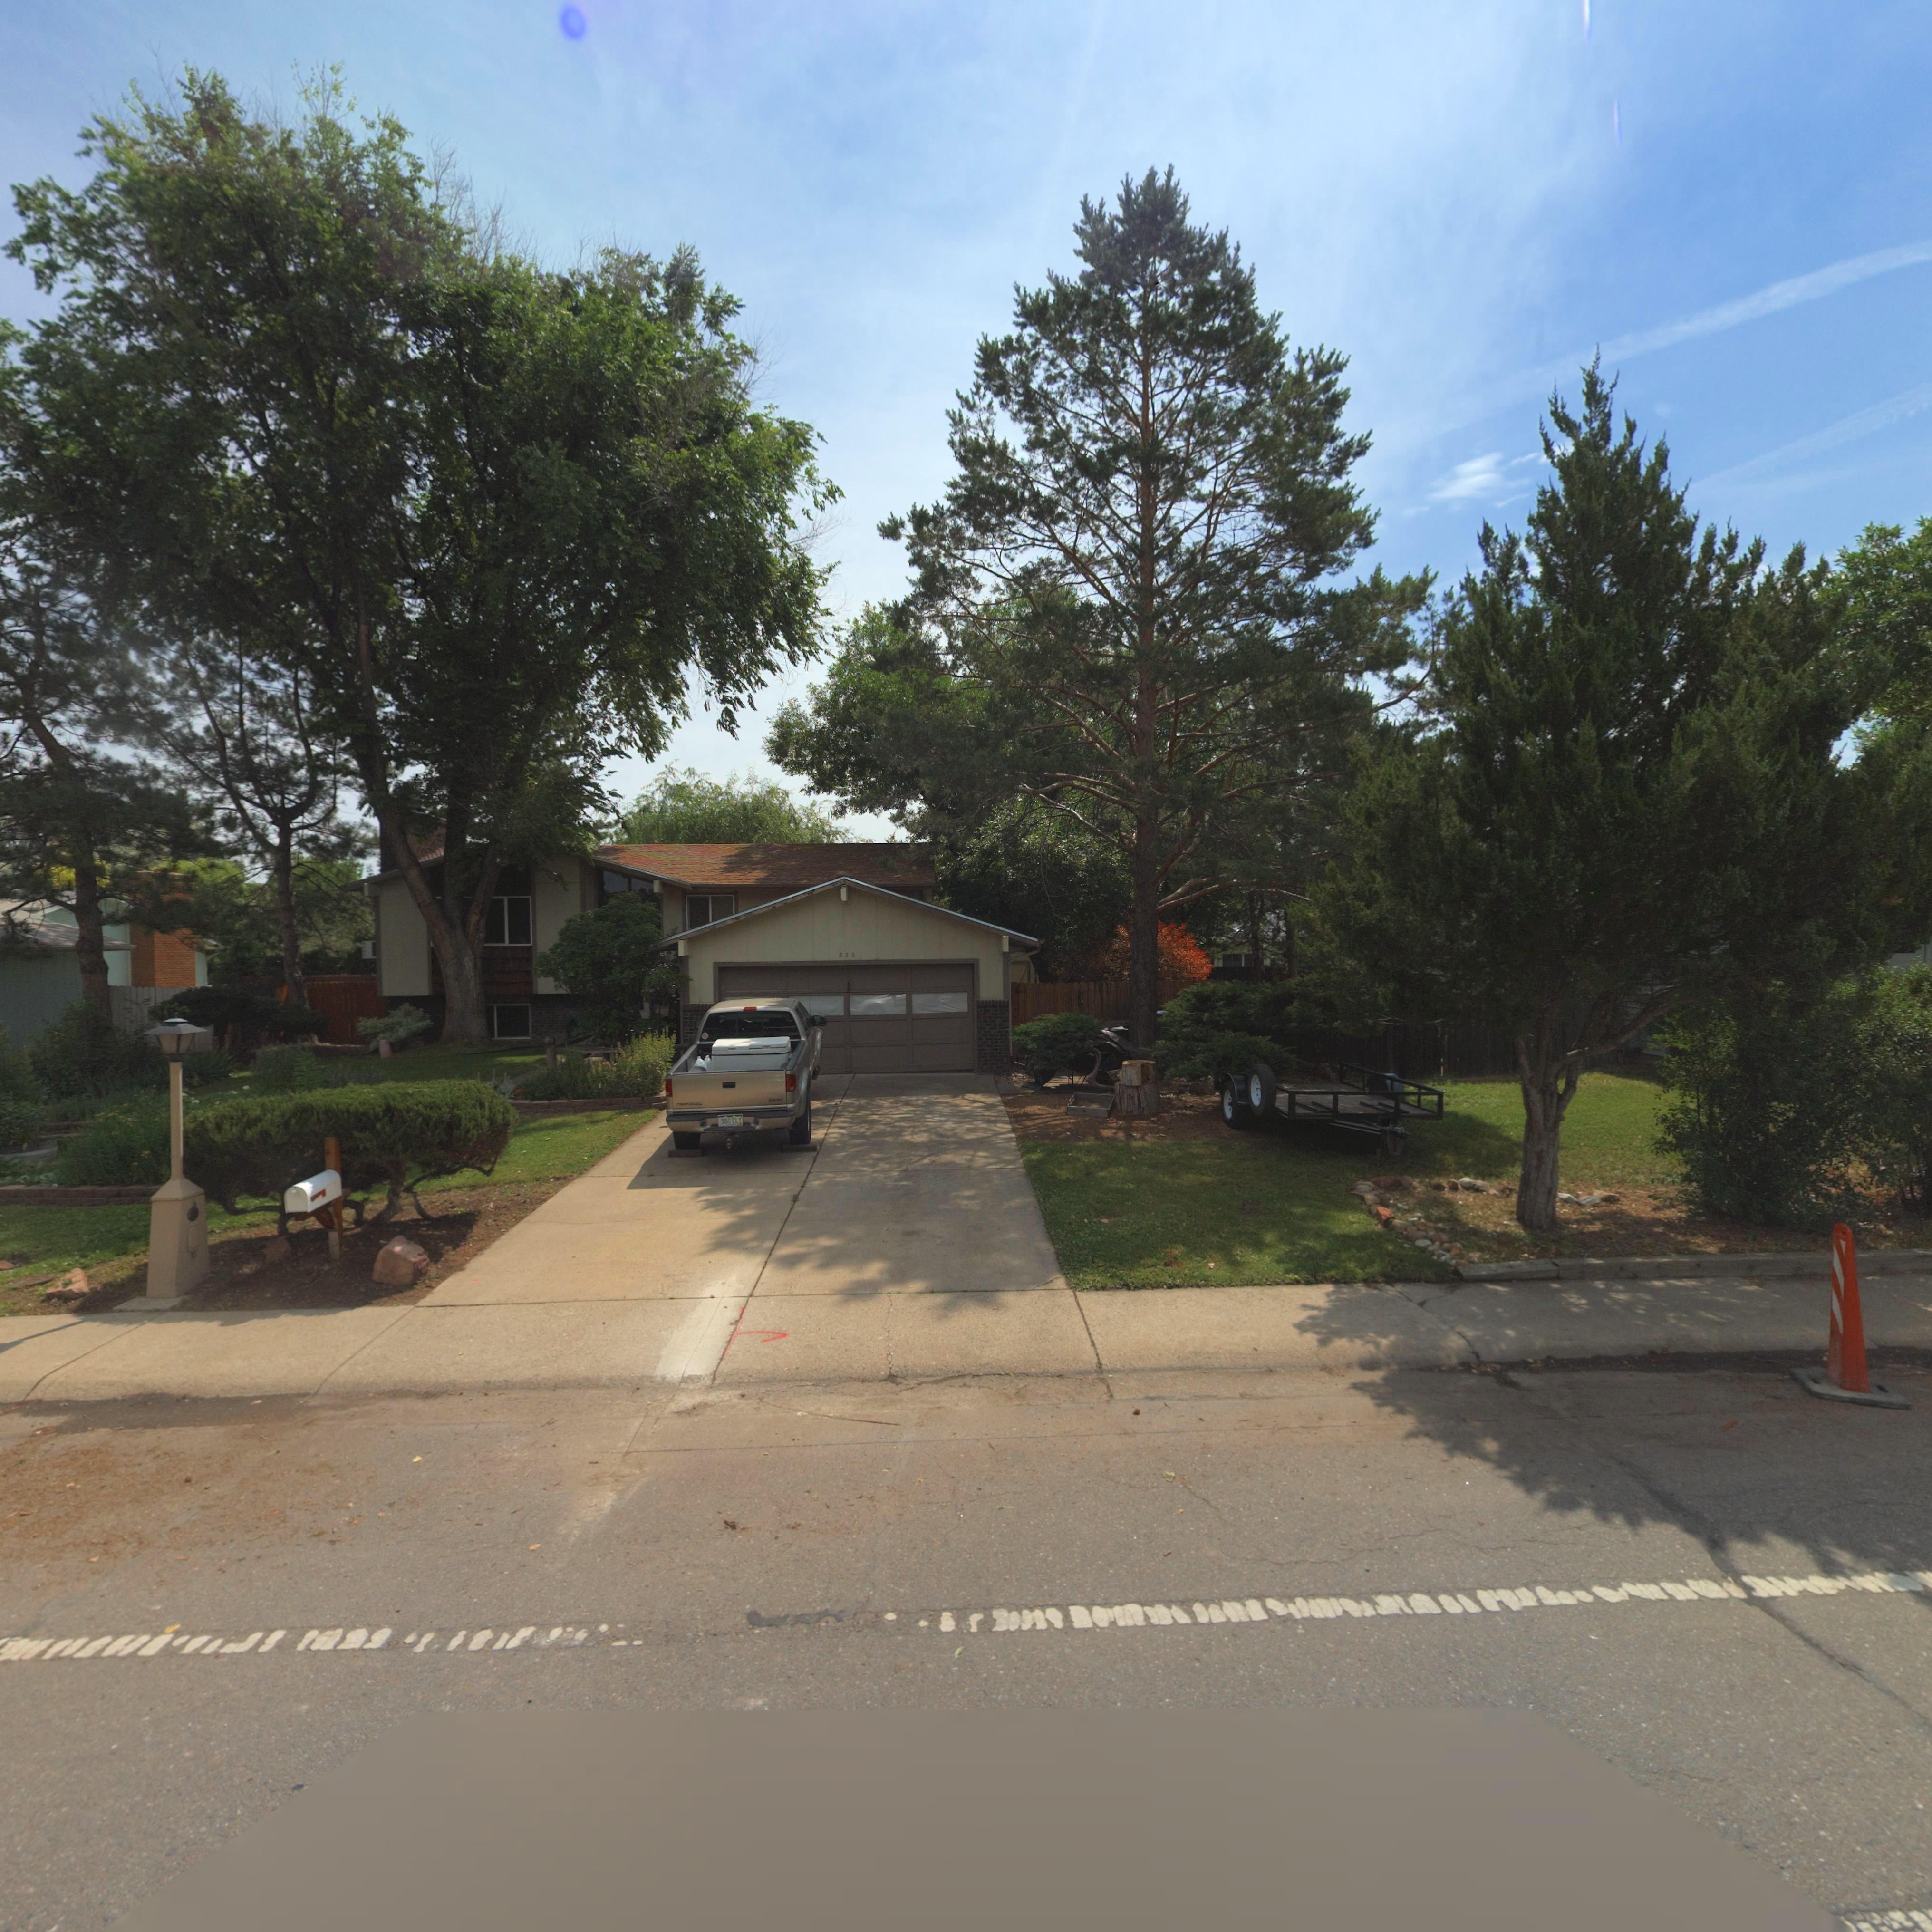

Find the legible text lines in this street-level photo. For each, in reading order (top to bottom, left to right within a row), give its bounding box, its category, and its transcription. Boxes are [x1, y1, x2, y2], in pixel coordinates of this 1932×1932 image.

[839, 952, 855, 958] StreetNumber: 830